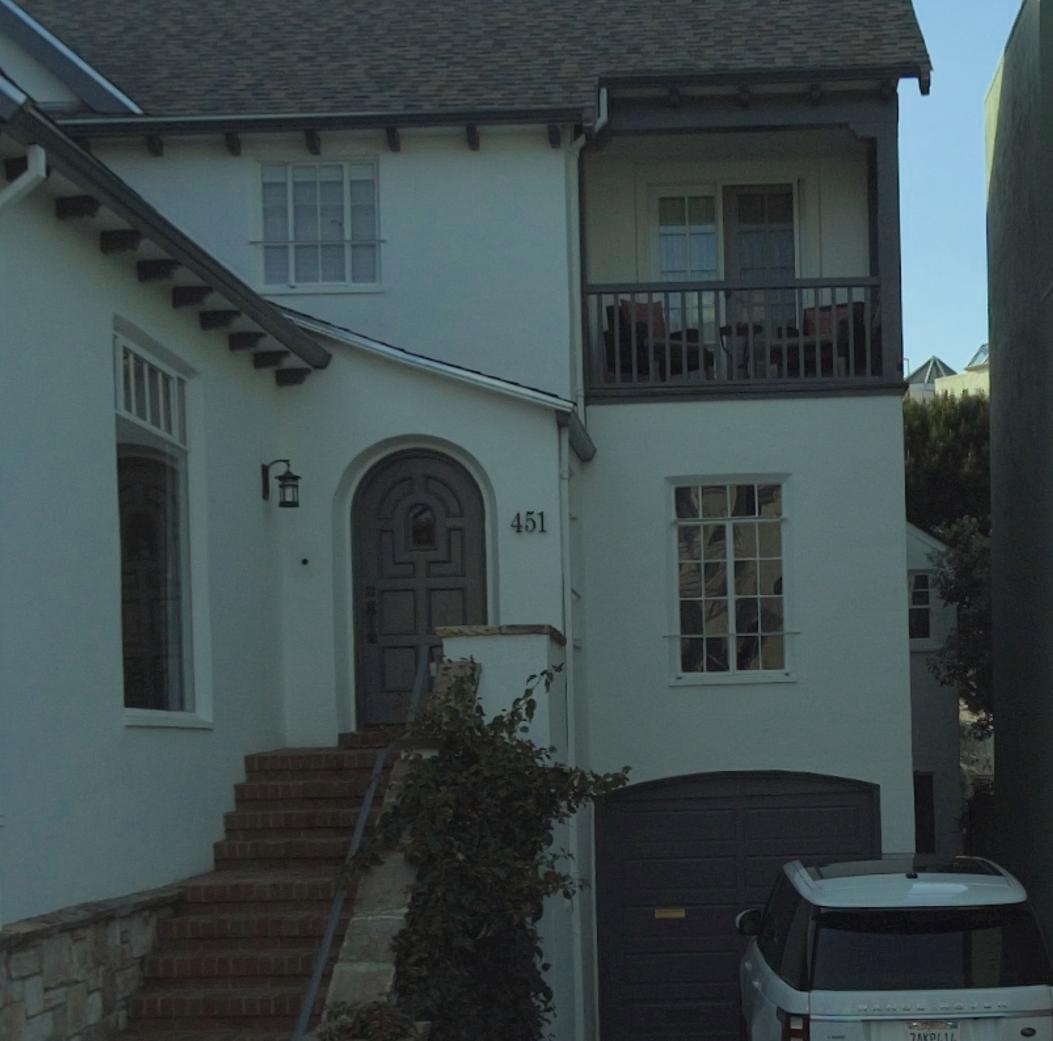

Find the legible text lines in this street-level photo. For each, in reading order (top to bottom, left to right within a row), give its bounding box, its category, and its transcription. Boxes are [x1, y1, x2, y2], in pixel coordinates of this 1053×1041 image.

[507, 509, 549, 536] StreetNumber: 451